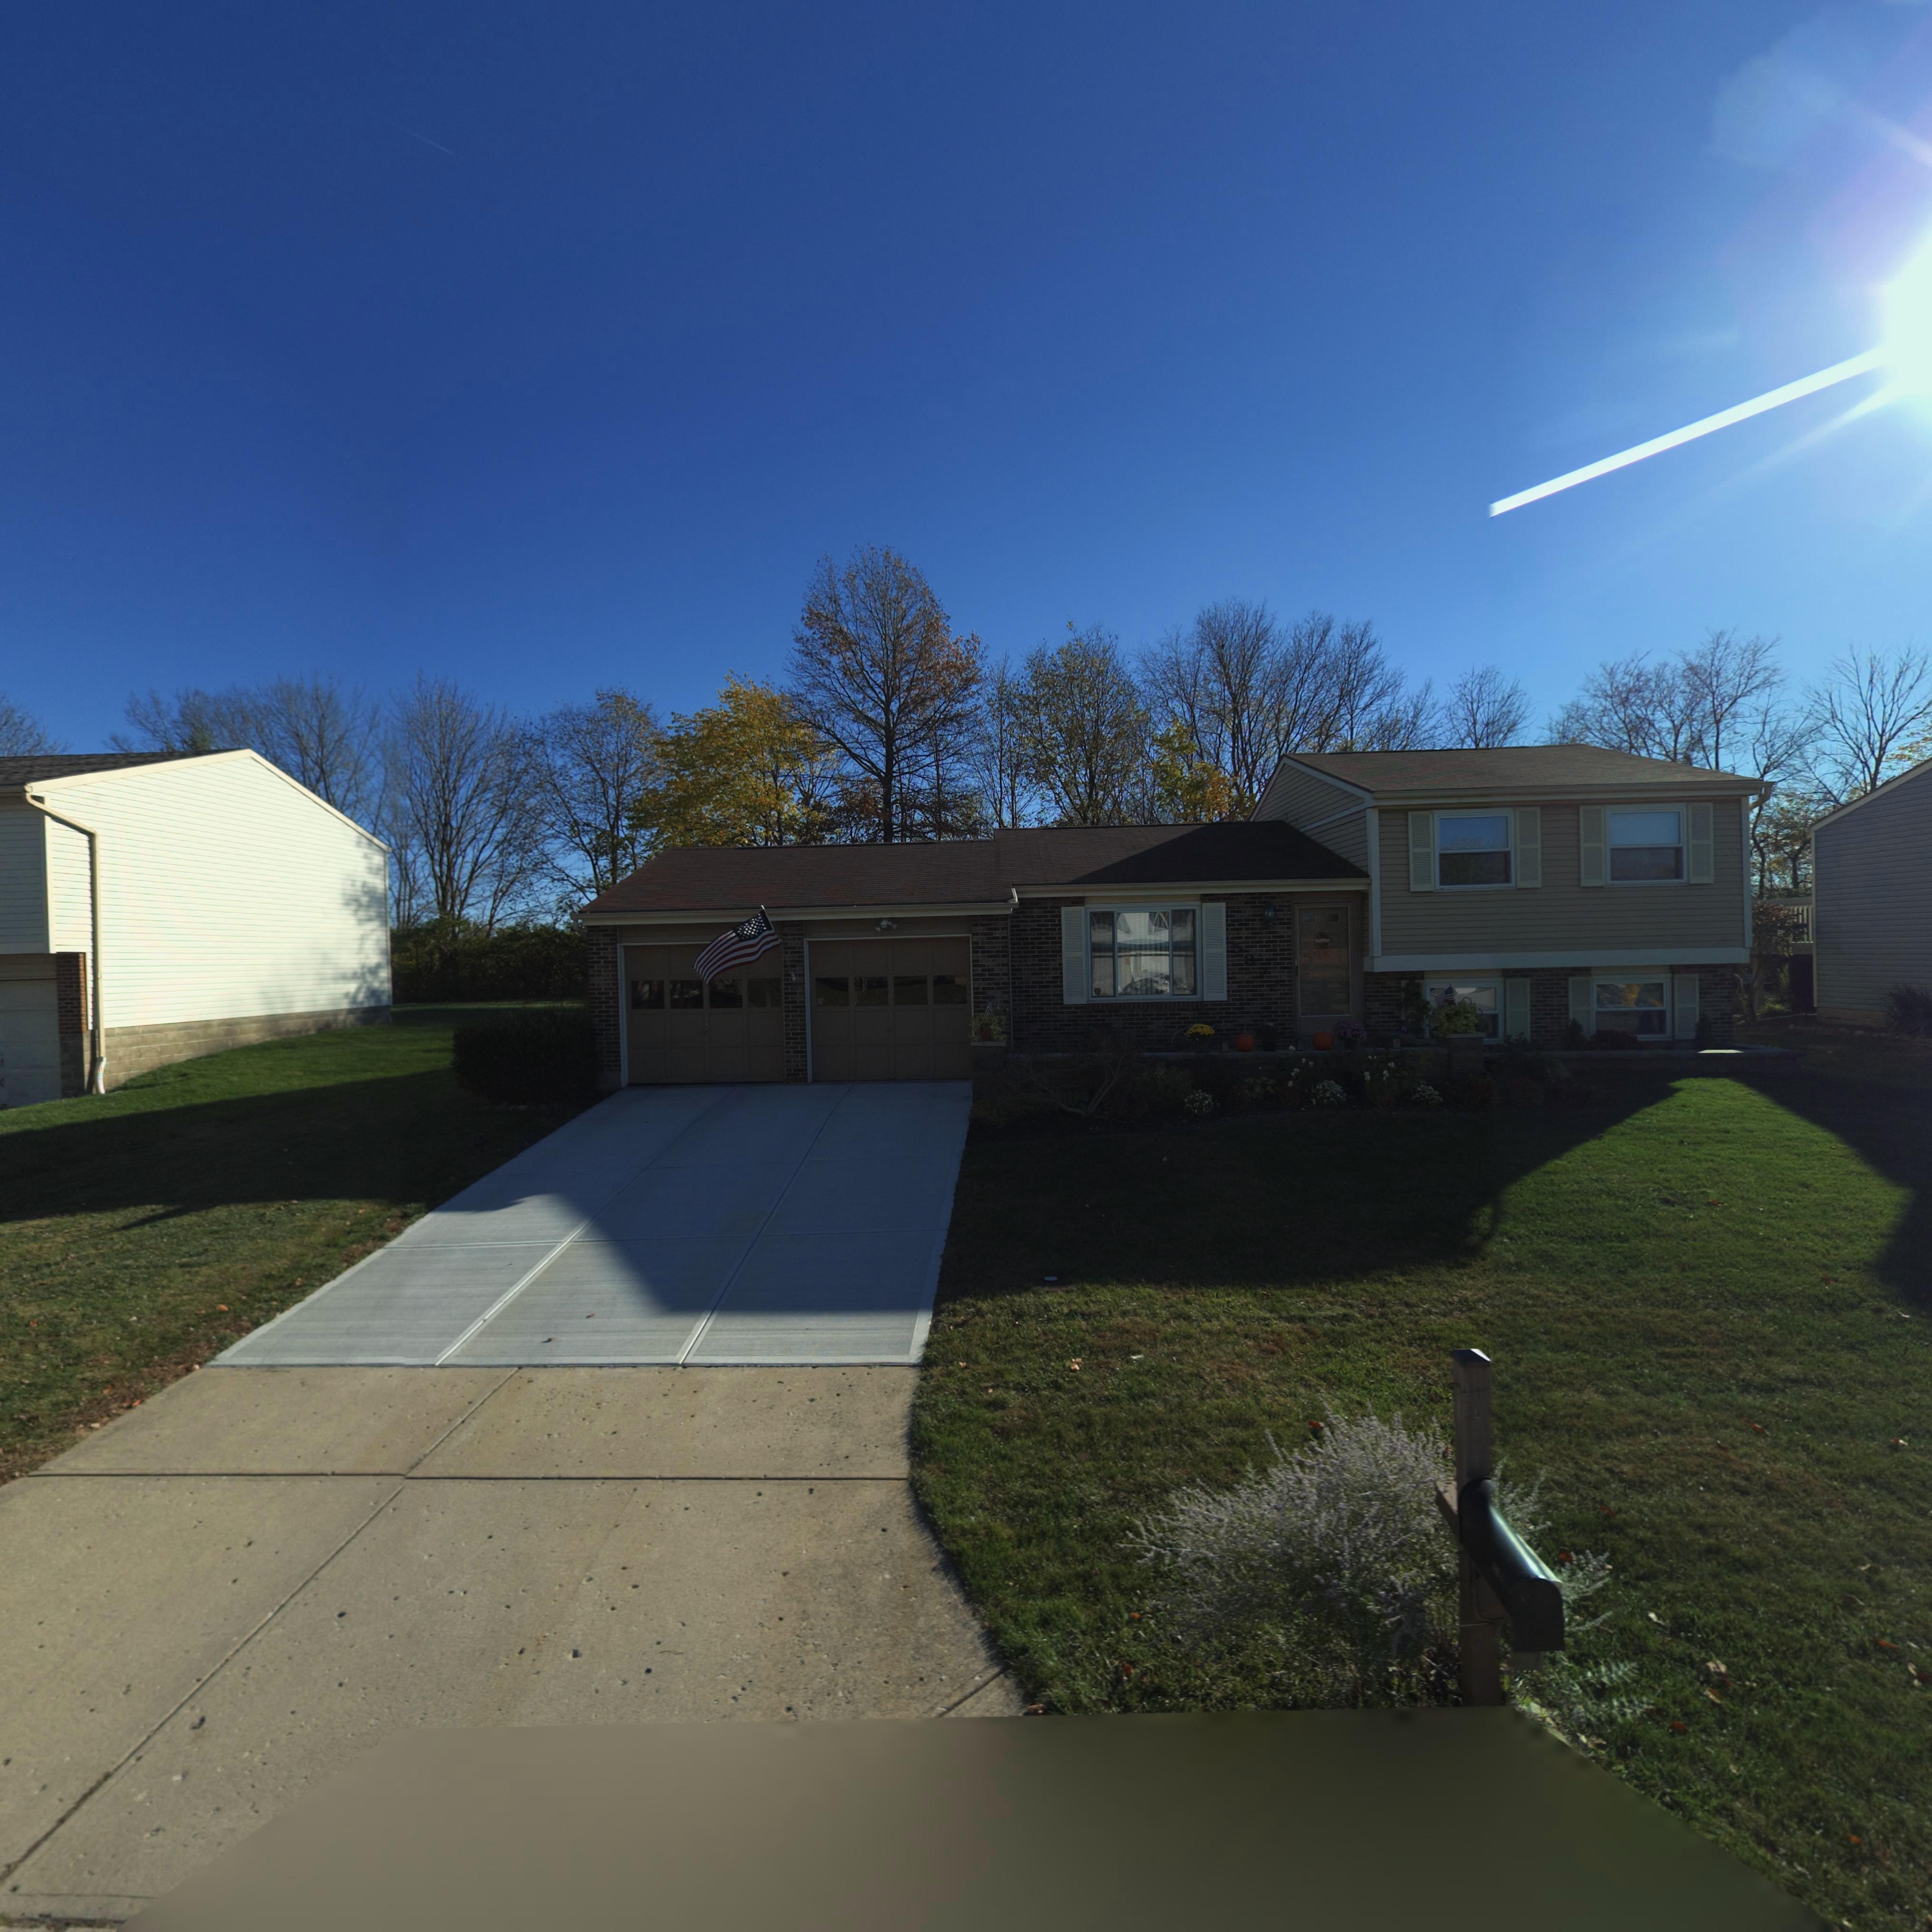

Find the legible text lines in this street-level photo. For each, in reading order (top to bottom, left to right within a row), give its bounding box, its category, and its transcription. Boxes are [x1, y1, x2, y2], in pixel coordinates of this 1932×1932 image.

[1231, 941, 1281, 993] StreetNumber: 5872